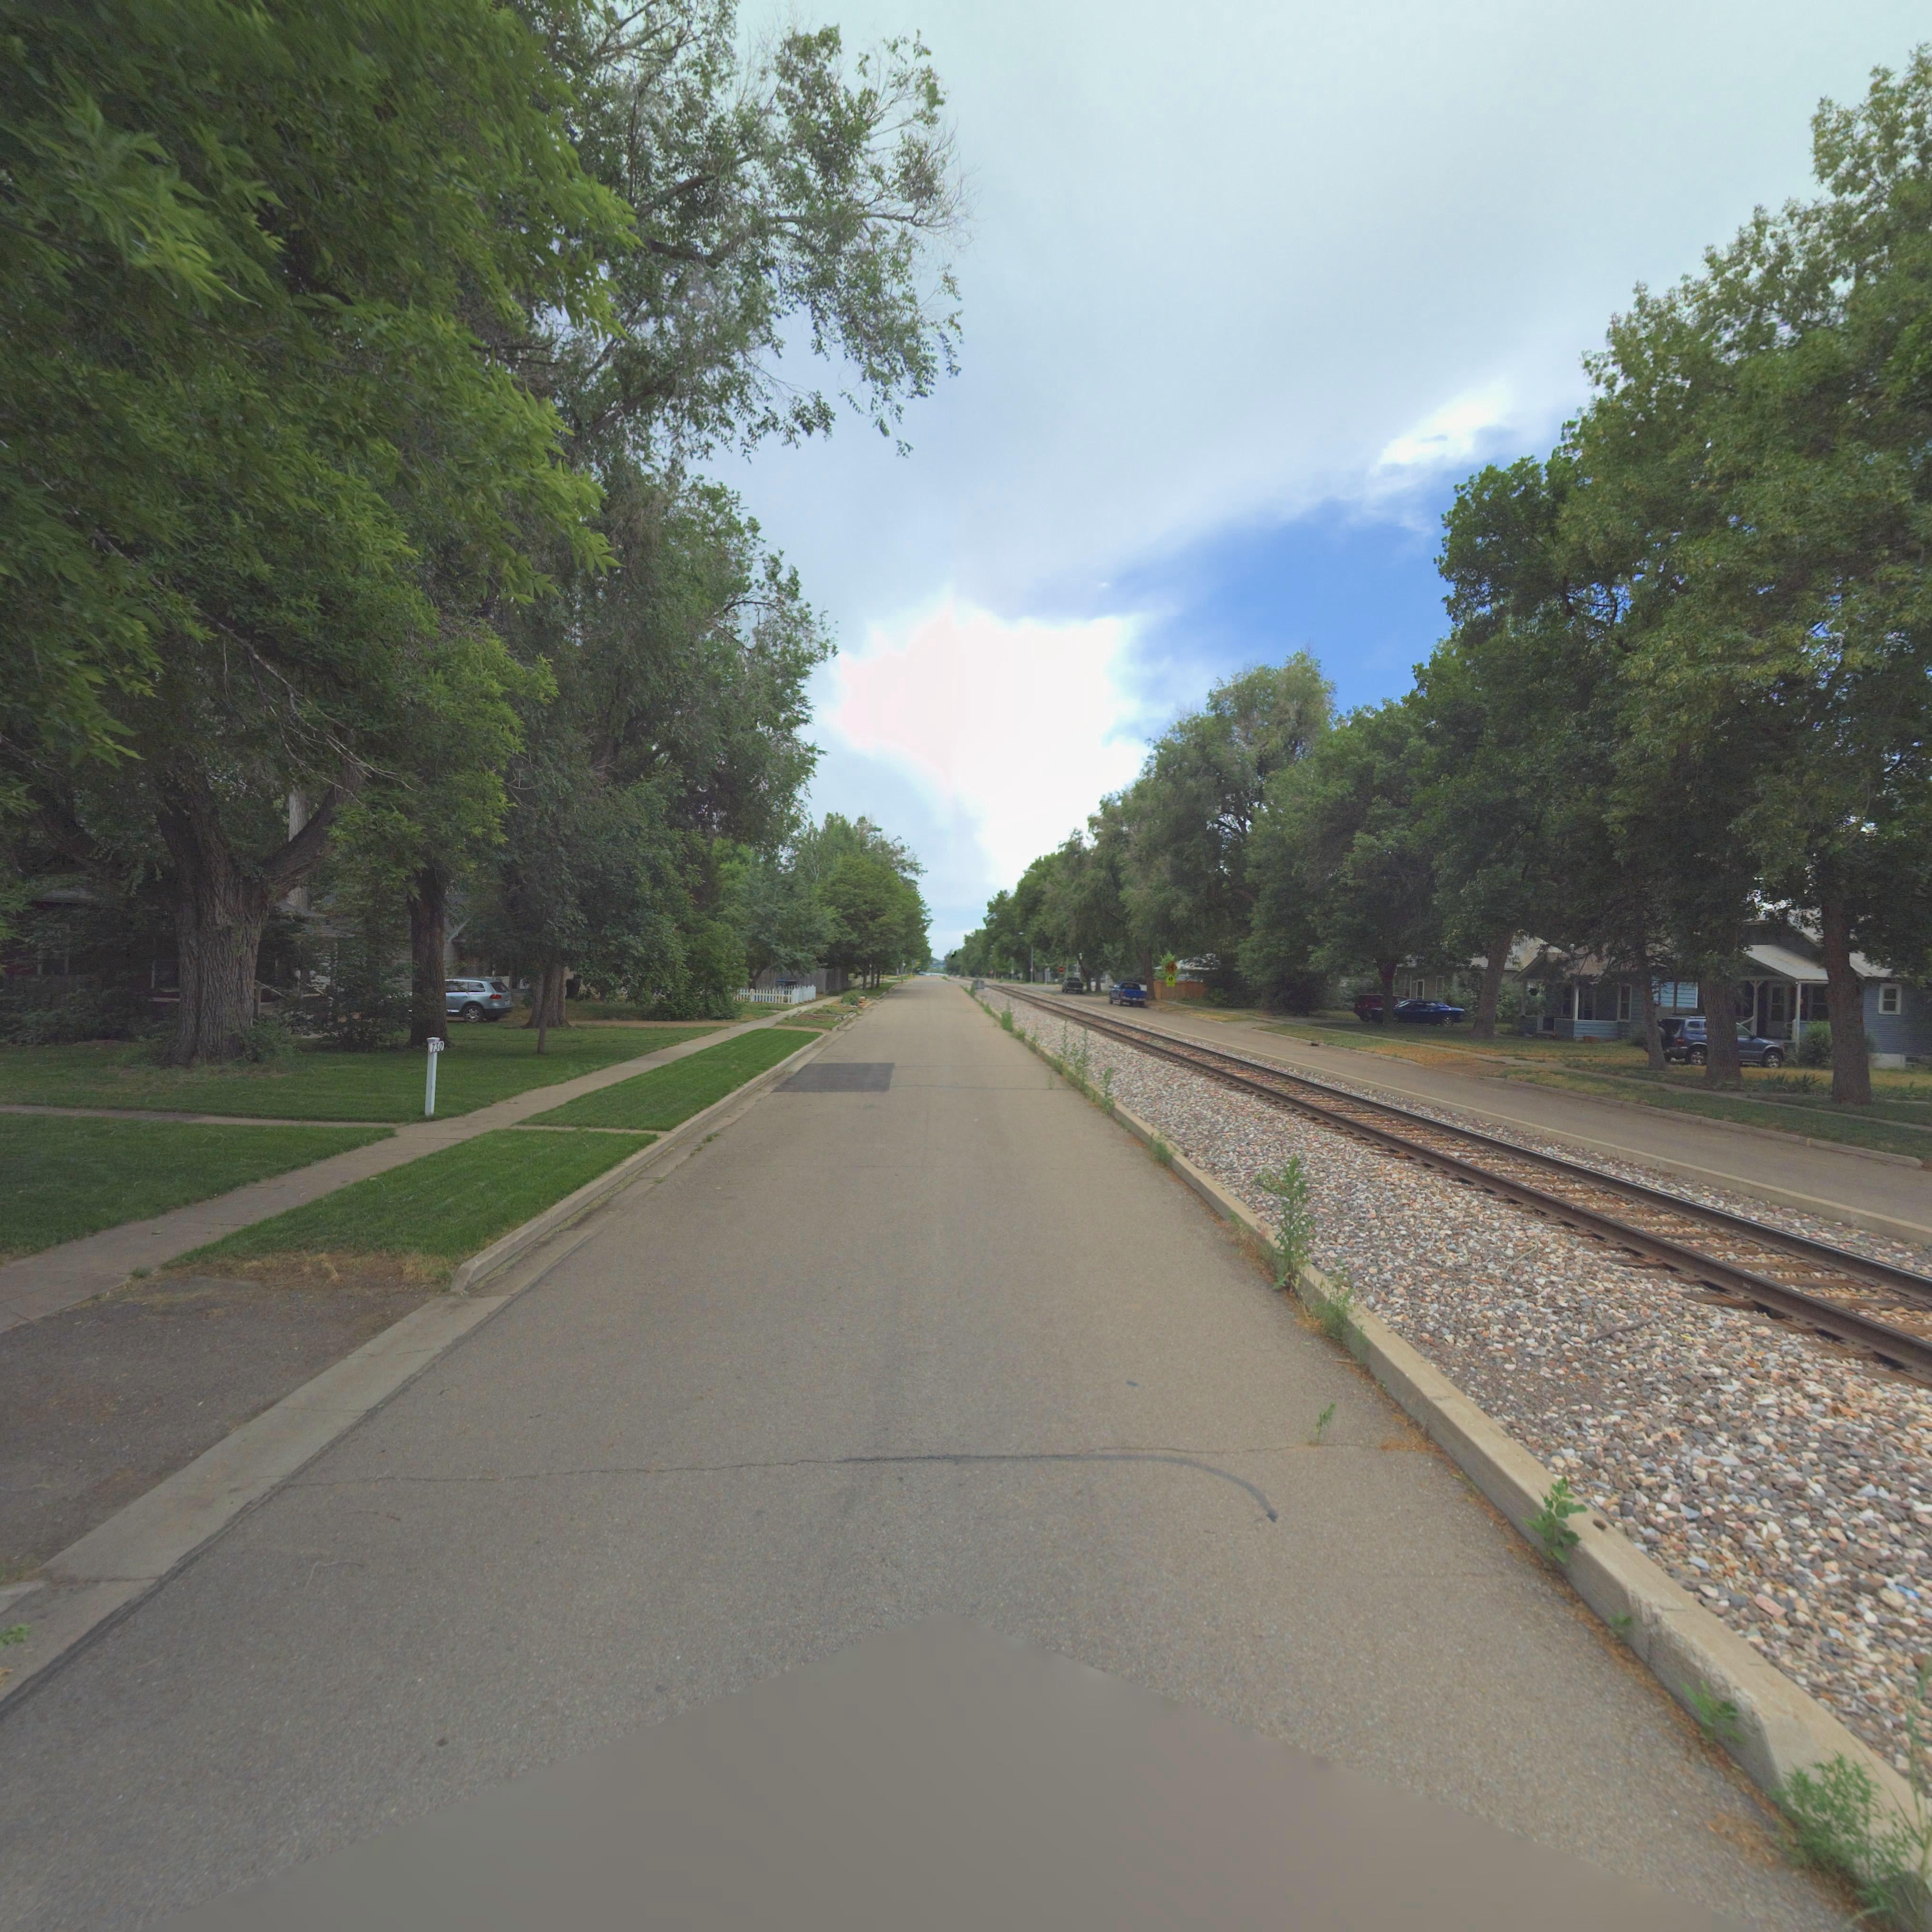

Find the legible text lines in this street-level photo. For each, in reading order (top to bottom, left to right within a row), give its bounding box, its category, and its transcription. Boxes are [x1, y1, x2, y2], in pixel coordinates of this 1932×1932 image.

[432, 1042, 443, 1052] StreetNumber: 730